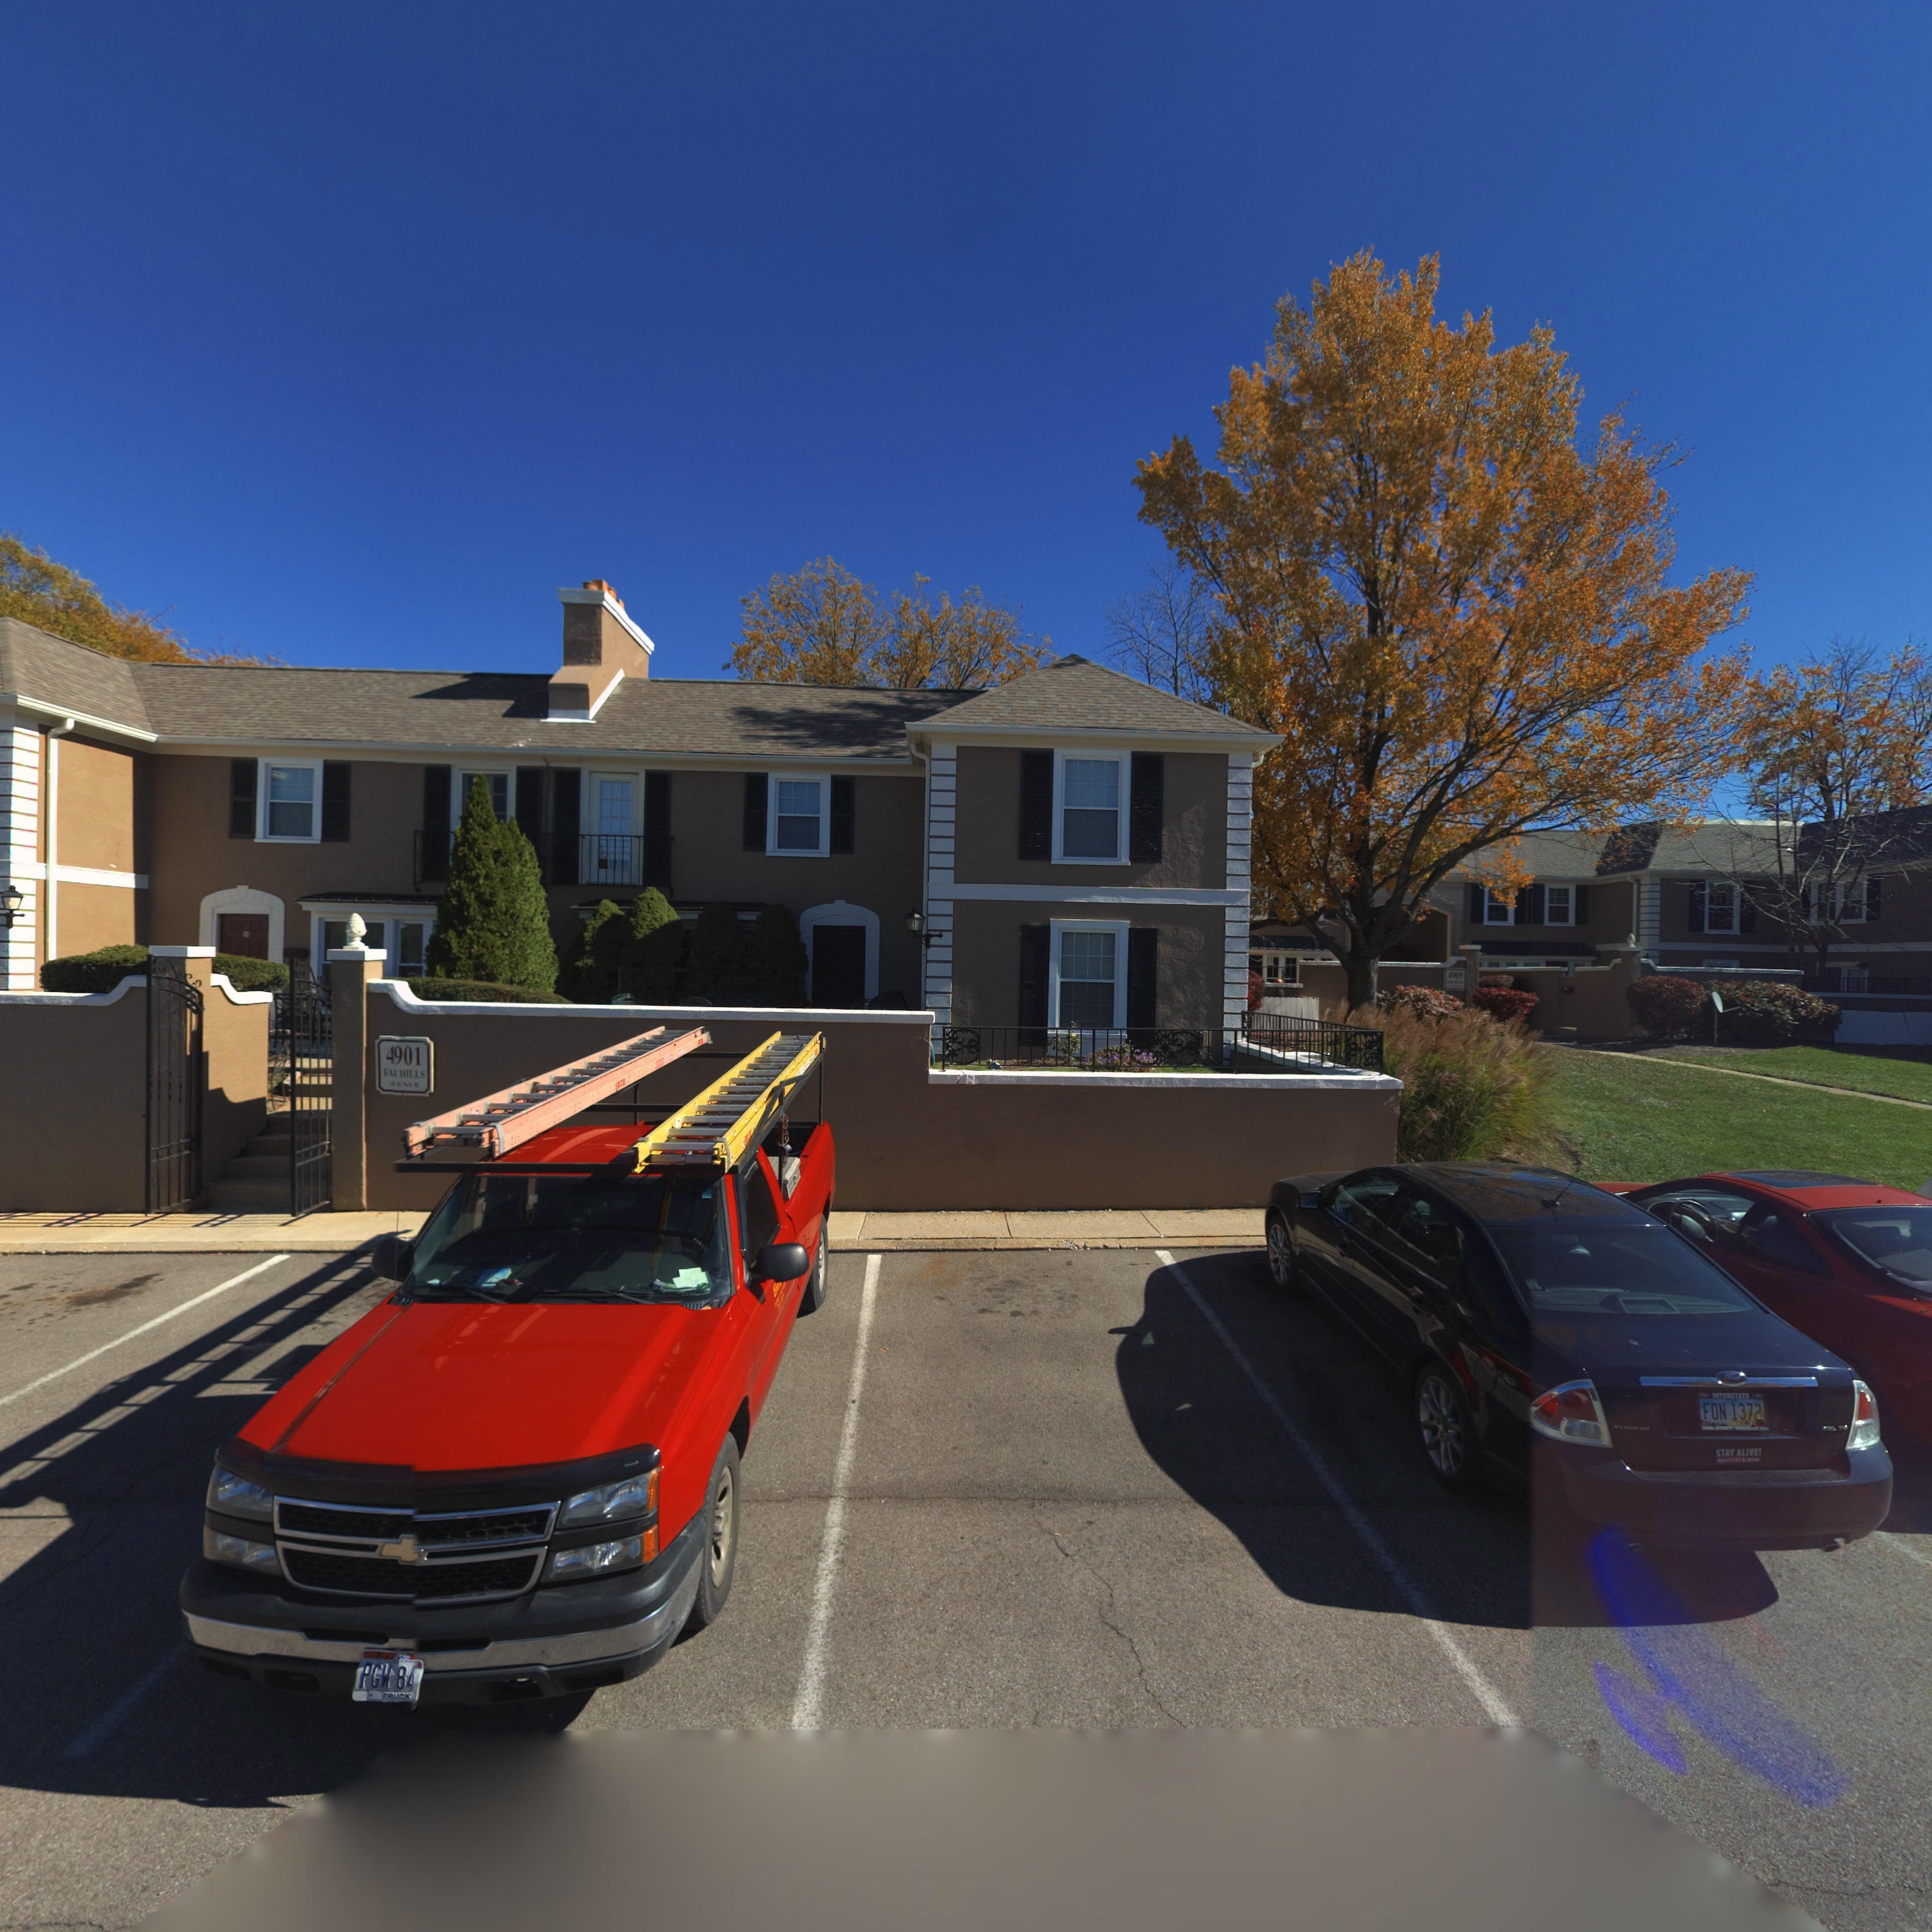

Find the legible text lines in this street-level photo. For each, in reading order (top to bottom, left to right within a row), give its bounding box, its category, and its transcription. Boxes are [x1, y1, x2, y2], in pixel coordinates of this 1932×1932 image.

[383, 1043, 423, 1068] StreetNumber: 4901
[383, 1068, 426, 1079] StreetName: FA* HILLS
[387, 1080, 421, 1089] StreetName: A*ENUE
[1711, 1392, 1750, 1400] None: INTERSTATE
[1702, 1402, 1764, 1422] None: FON*1372
[1613, 1424, 1650, 1431] None: FUSION
[1715, 1447, 1762, 1458] None: STAY ALIVE!
[392, 1652, 411, 1662] None: Ohio
[357, 1661, 409, 1691] None: PGW*8
[383, 1691, 413, 1700] None: TRUCK